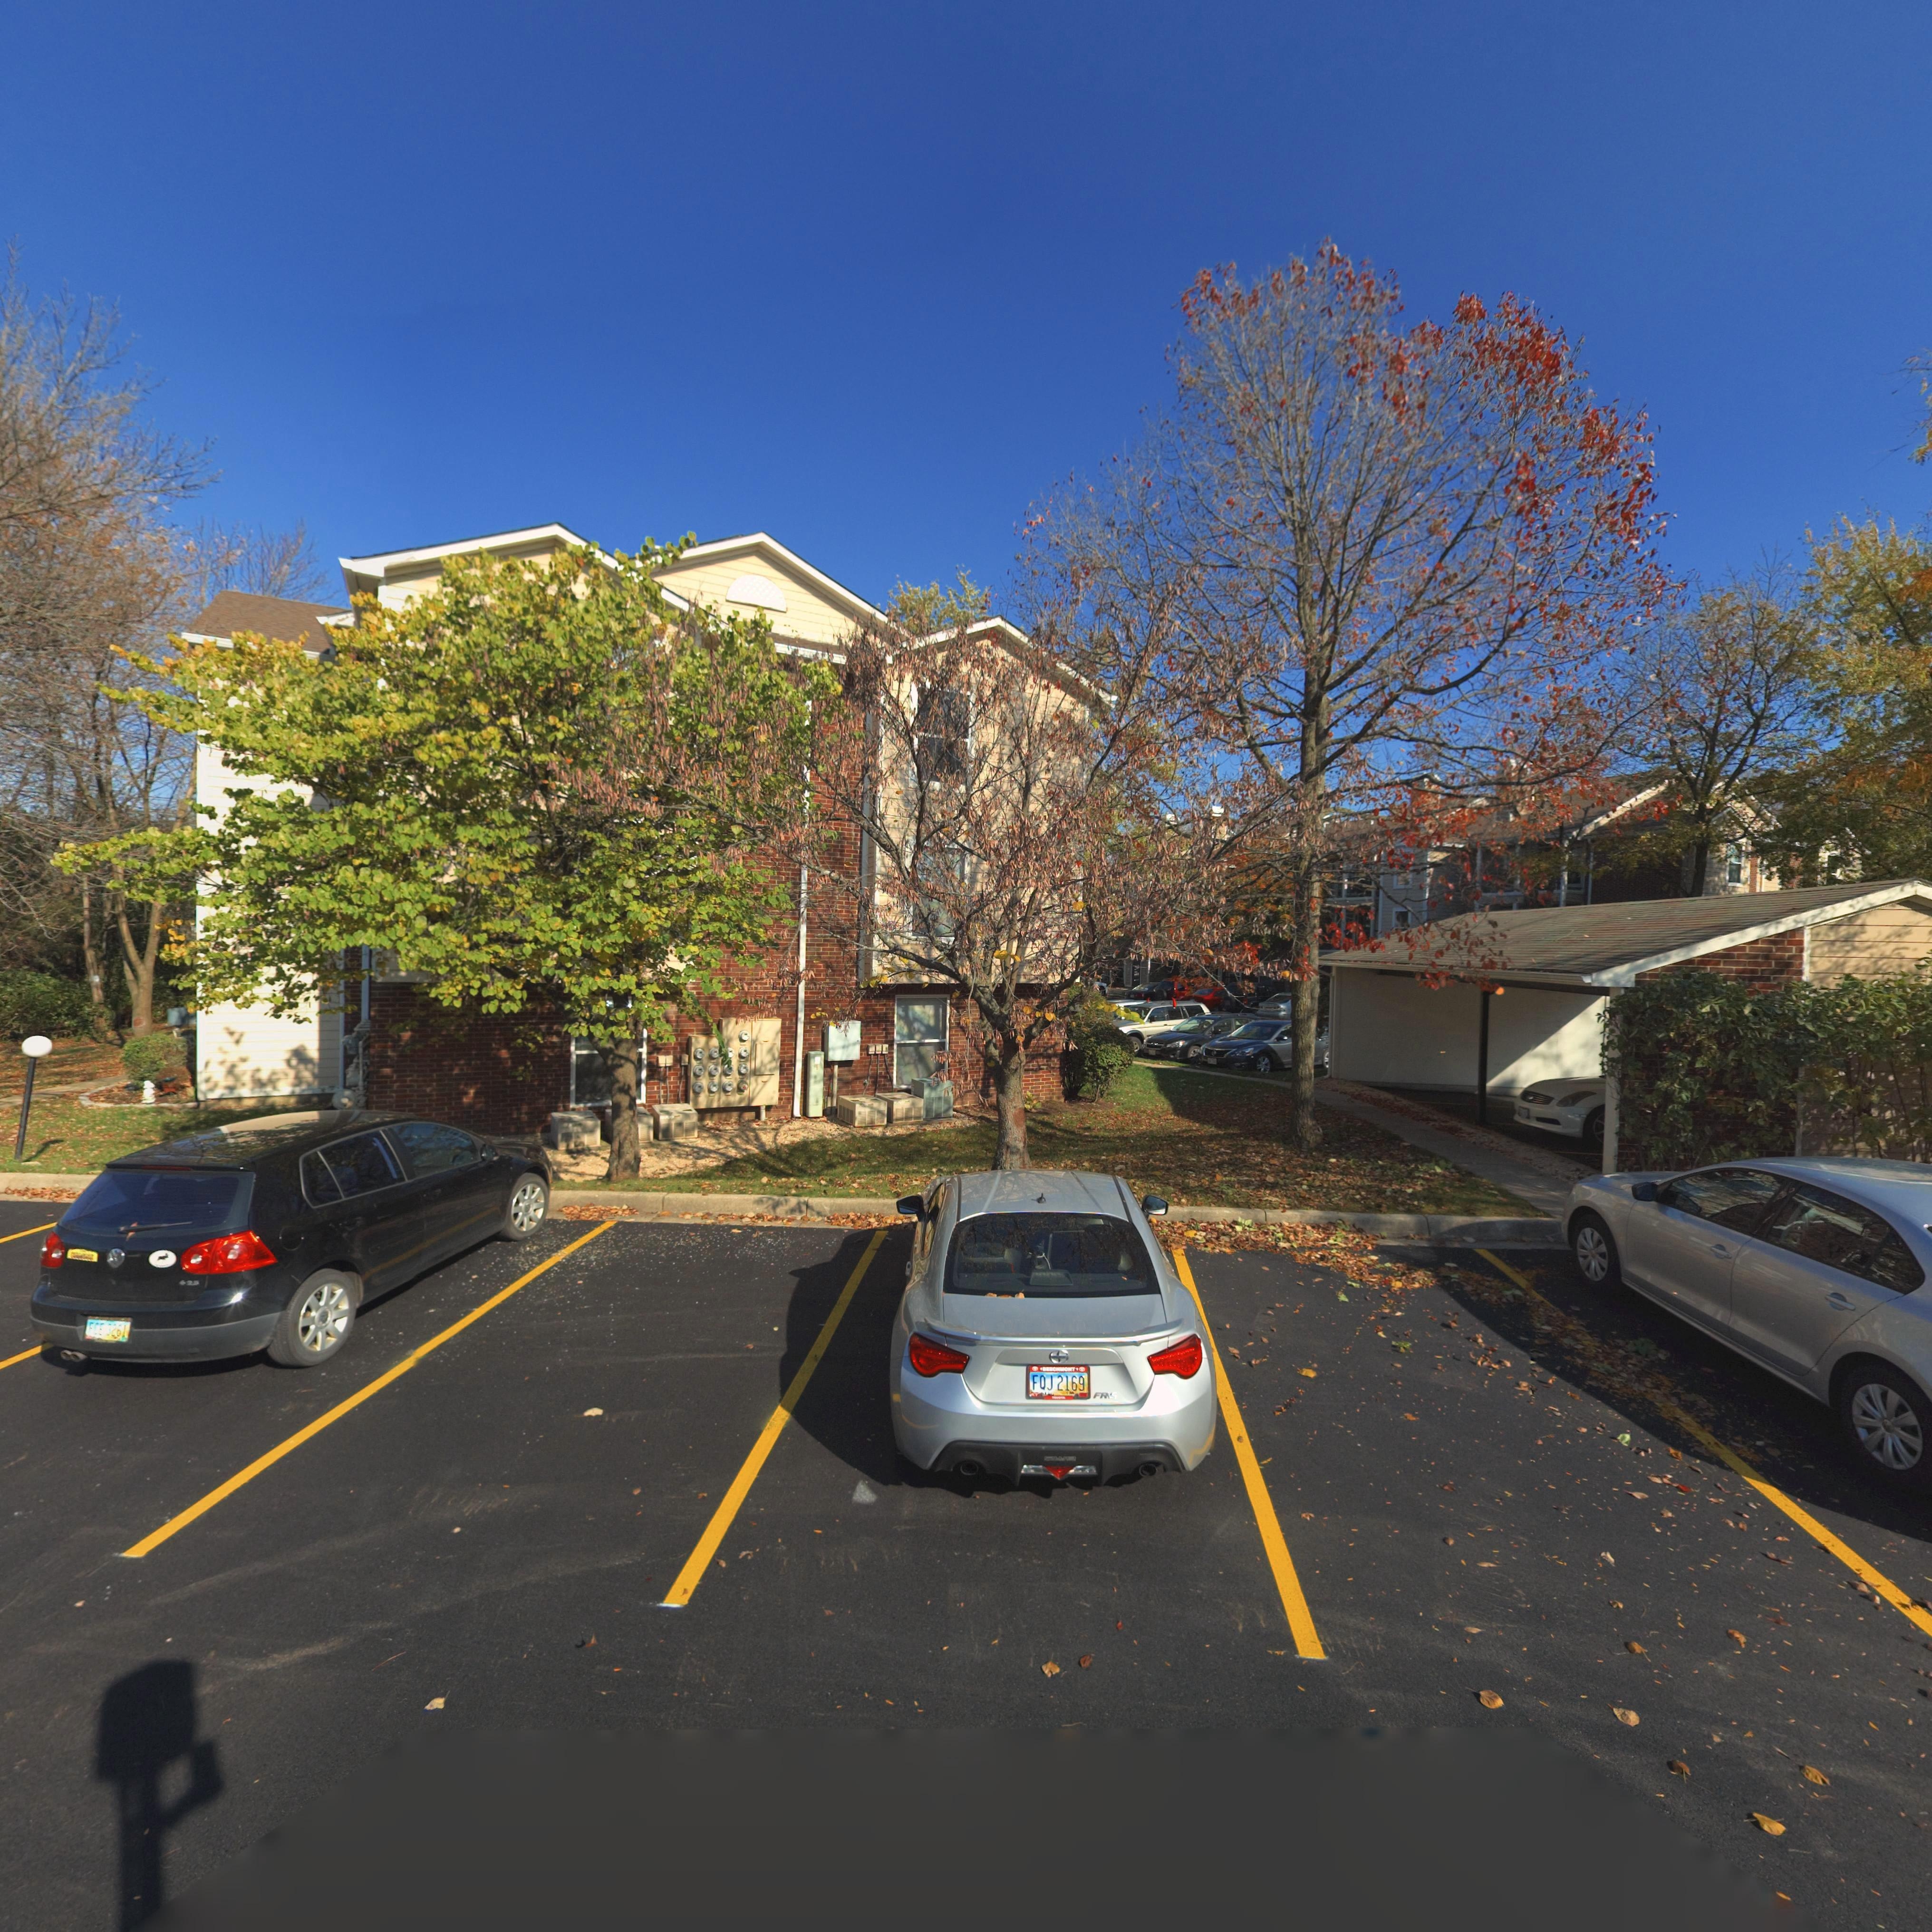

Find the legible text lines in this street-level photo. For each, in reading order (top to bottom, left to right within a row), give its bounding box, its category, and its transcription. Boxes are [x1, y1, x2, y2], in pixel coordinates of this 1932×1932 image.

[105, 1323, 127, 1338] None: 3261
[1032, 1374, 1086, 1392] None: FQJ 2169